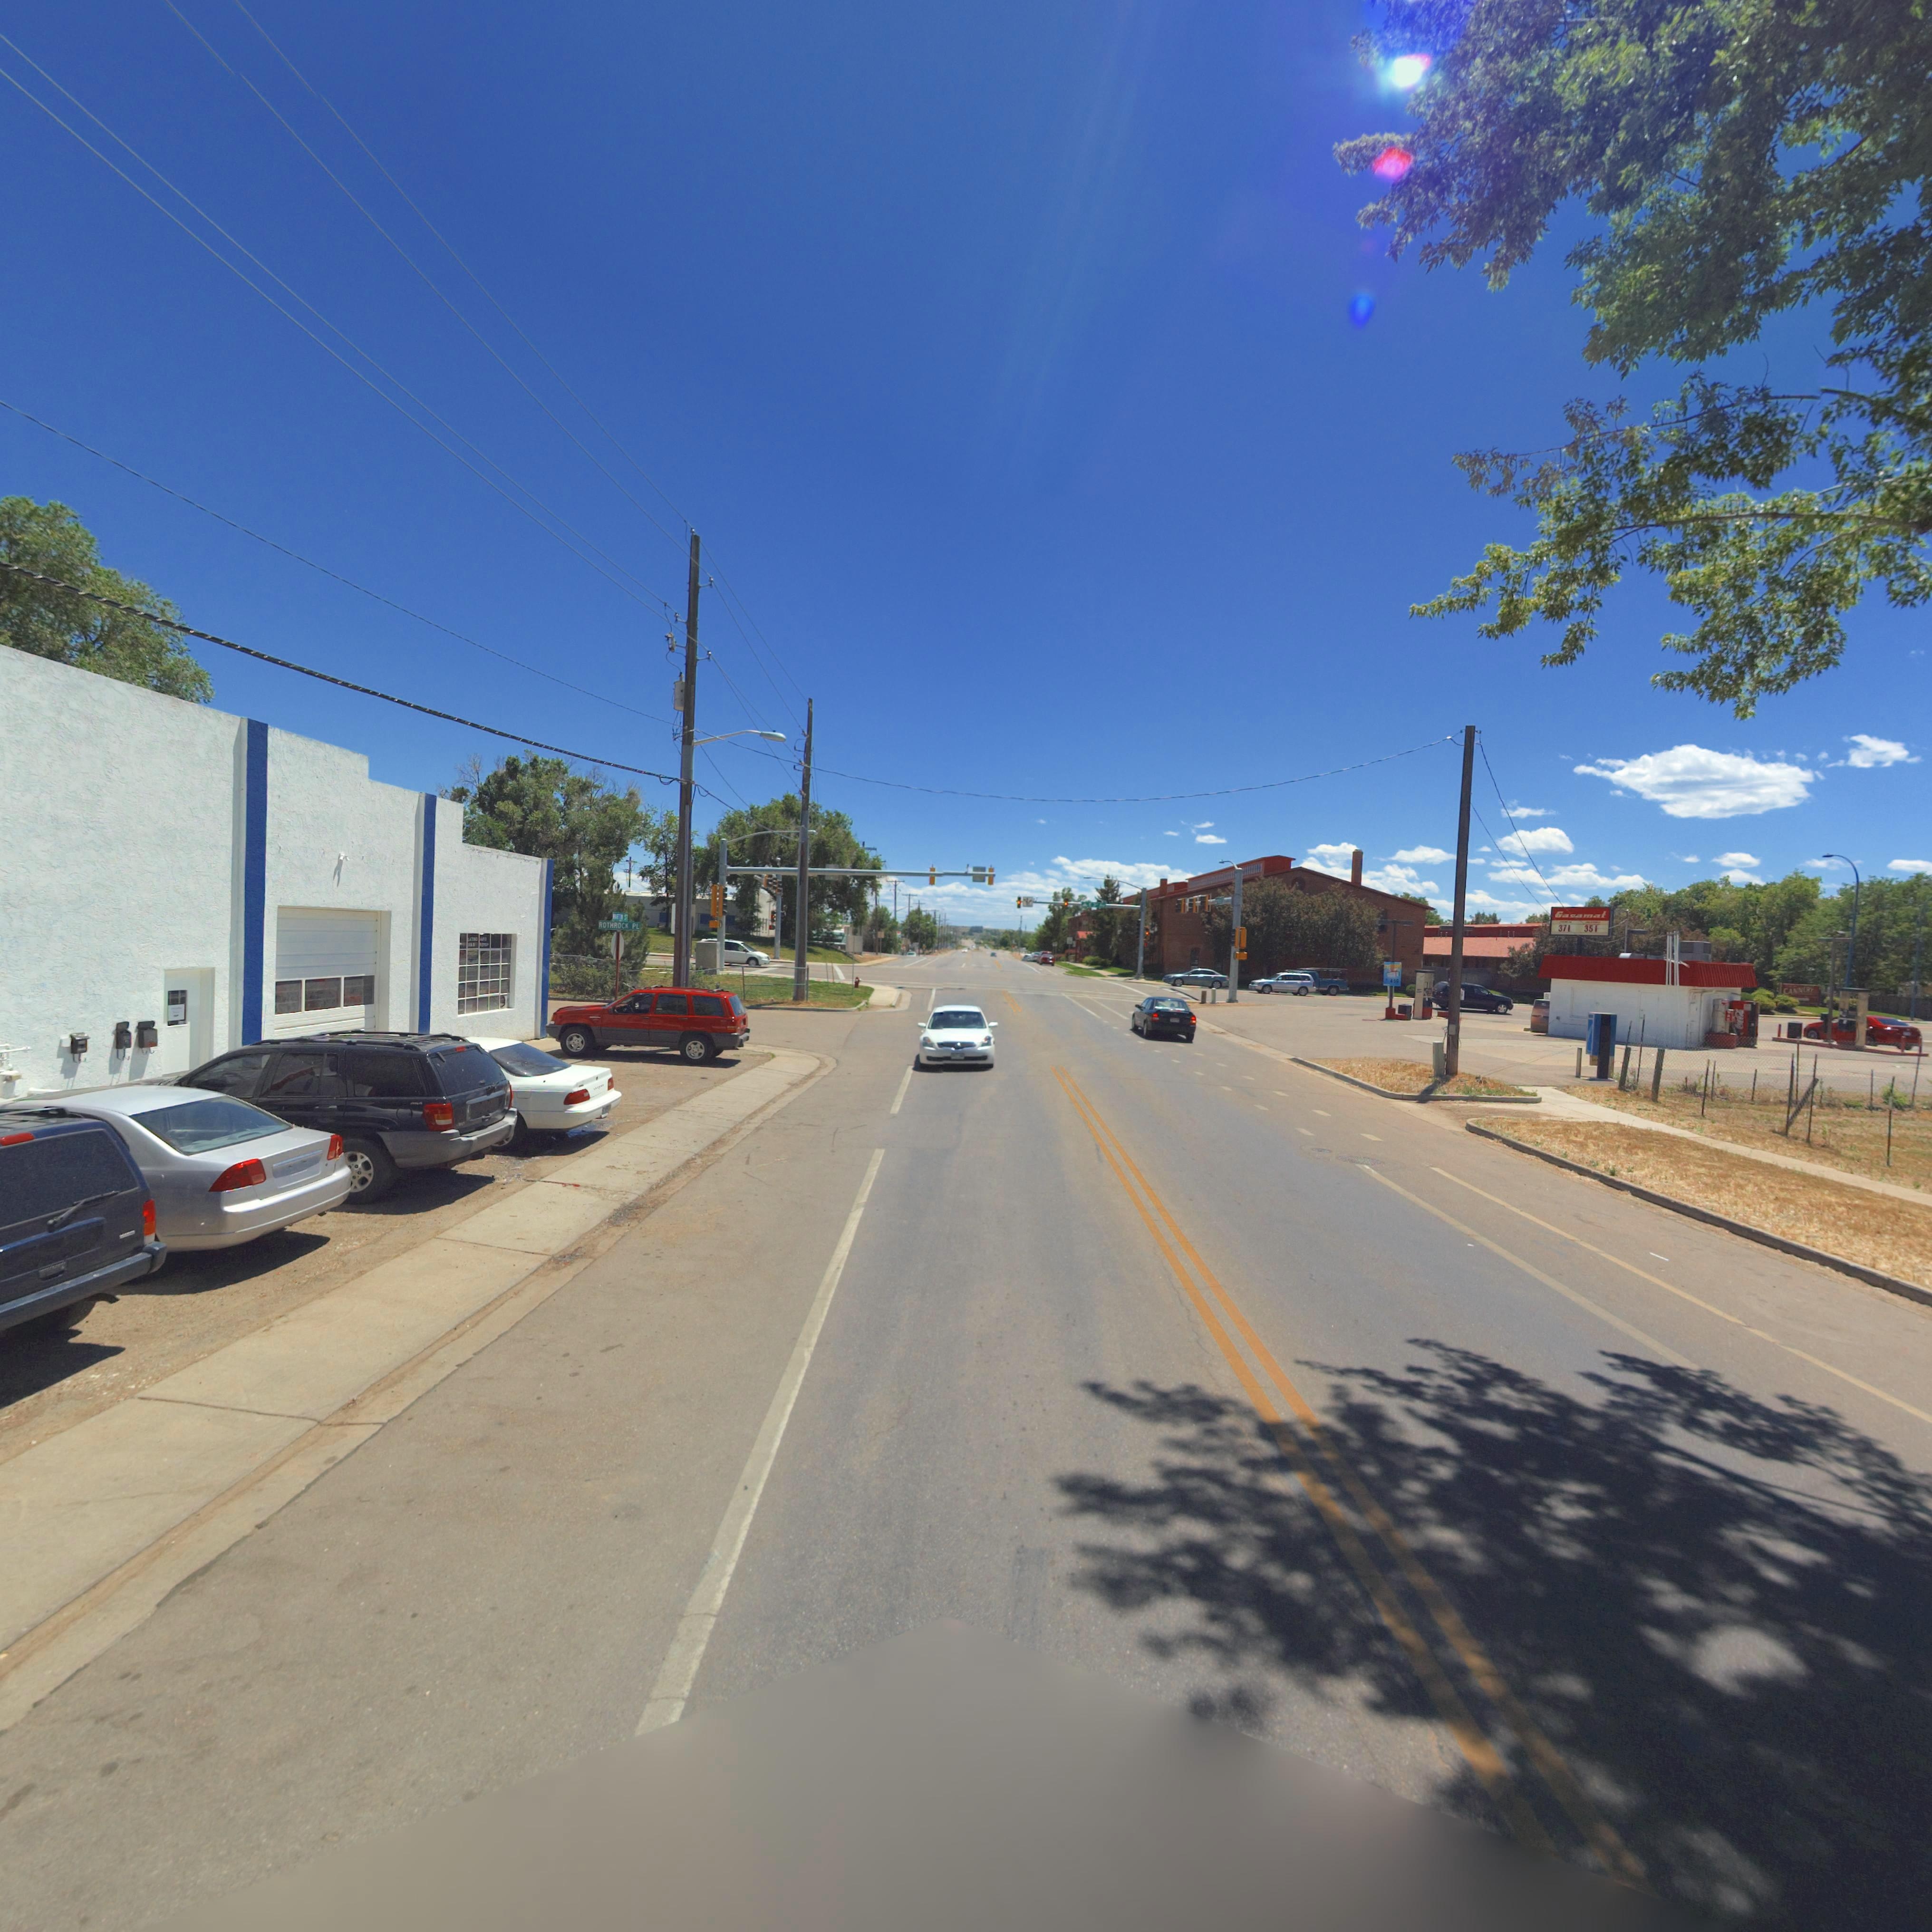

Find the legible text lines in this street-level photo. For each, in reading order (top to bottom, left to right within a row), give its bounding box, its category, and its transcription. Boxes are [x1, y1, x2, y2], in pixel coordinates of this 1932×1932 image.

[1088, 902, 1105, 908] StreetName: E 3** A*
[612, 913, 628, 920] StreetName: ****** ST
[1554, 910, 1607, 918] BusinessName: Gasamat
[599, 921, 640, 930] StreetName: ROTHROCK PL
[467, 937, 487, 941] BusinessName: LAT**O * **O
[1782, 985, 1815, 995] BusinessName: CANN*R*